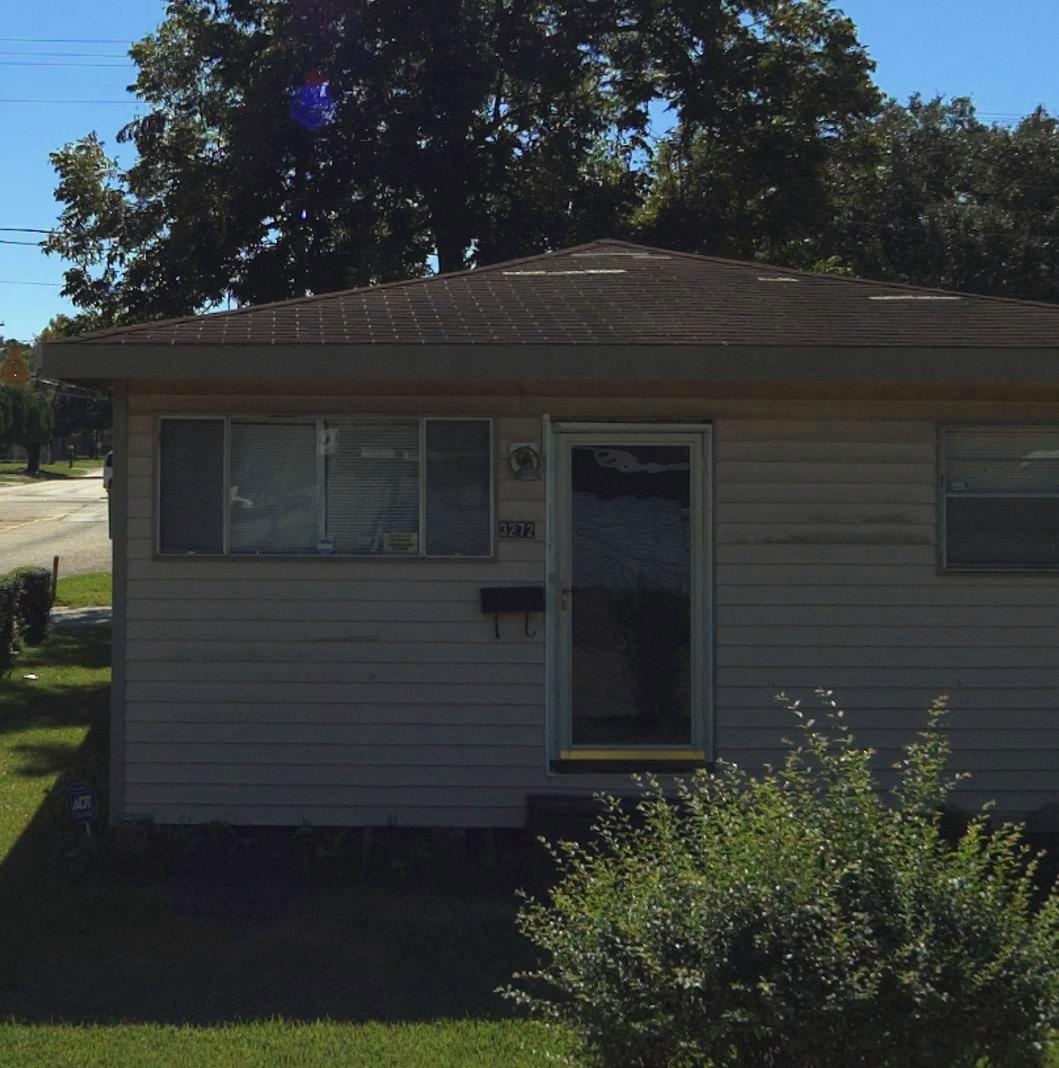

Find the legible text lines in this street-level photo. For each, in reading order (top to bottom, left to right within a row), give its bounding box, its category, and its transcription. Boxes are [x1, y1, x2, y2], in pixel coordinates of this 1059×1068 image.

[499, 522, 535, 539] StreetNumber: 3272
[69, 793, 94, 813] None: ADT